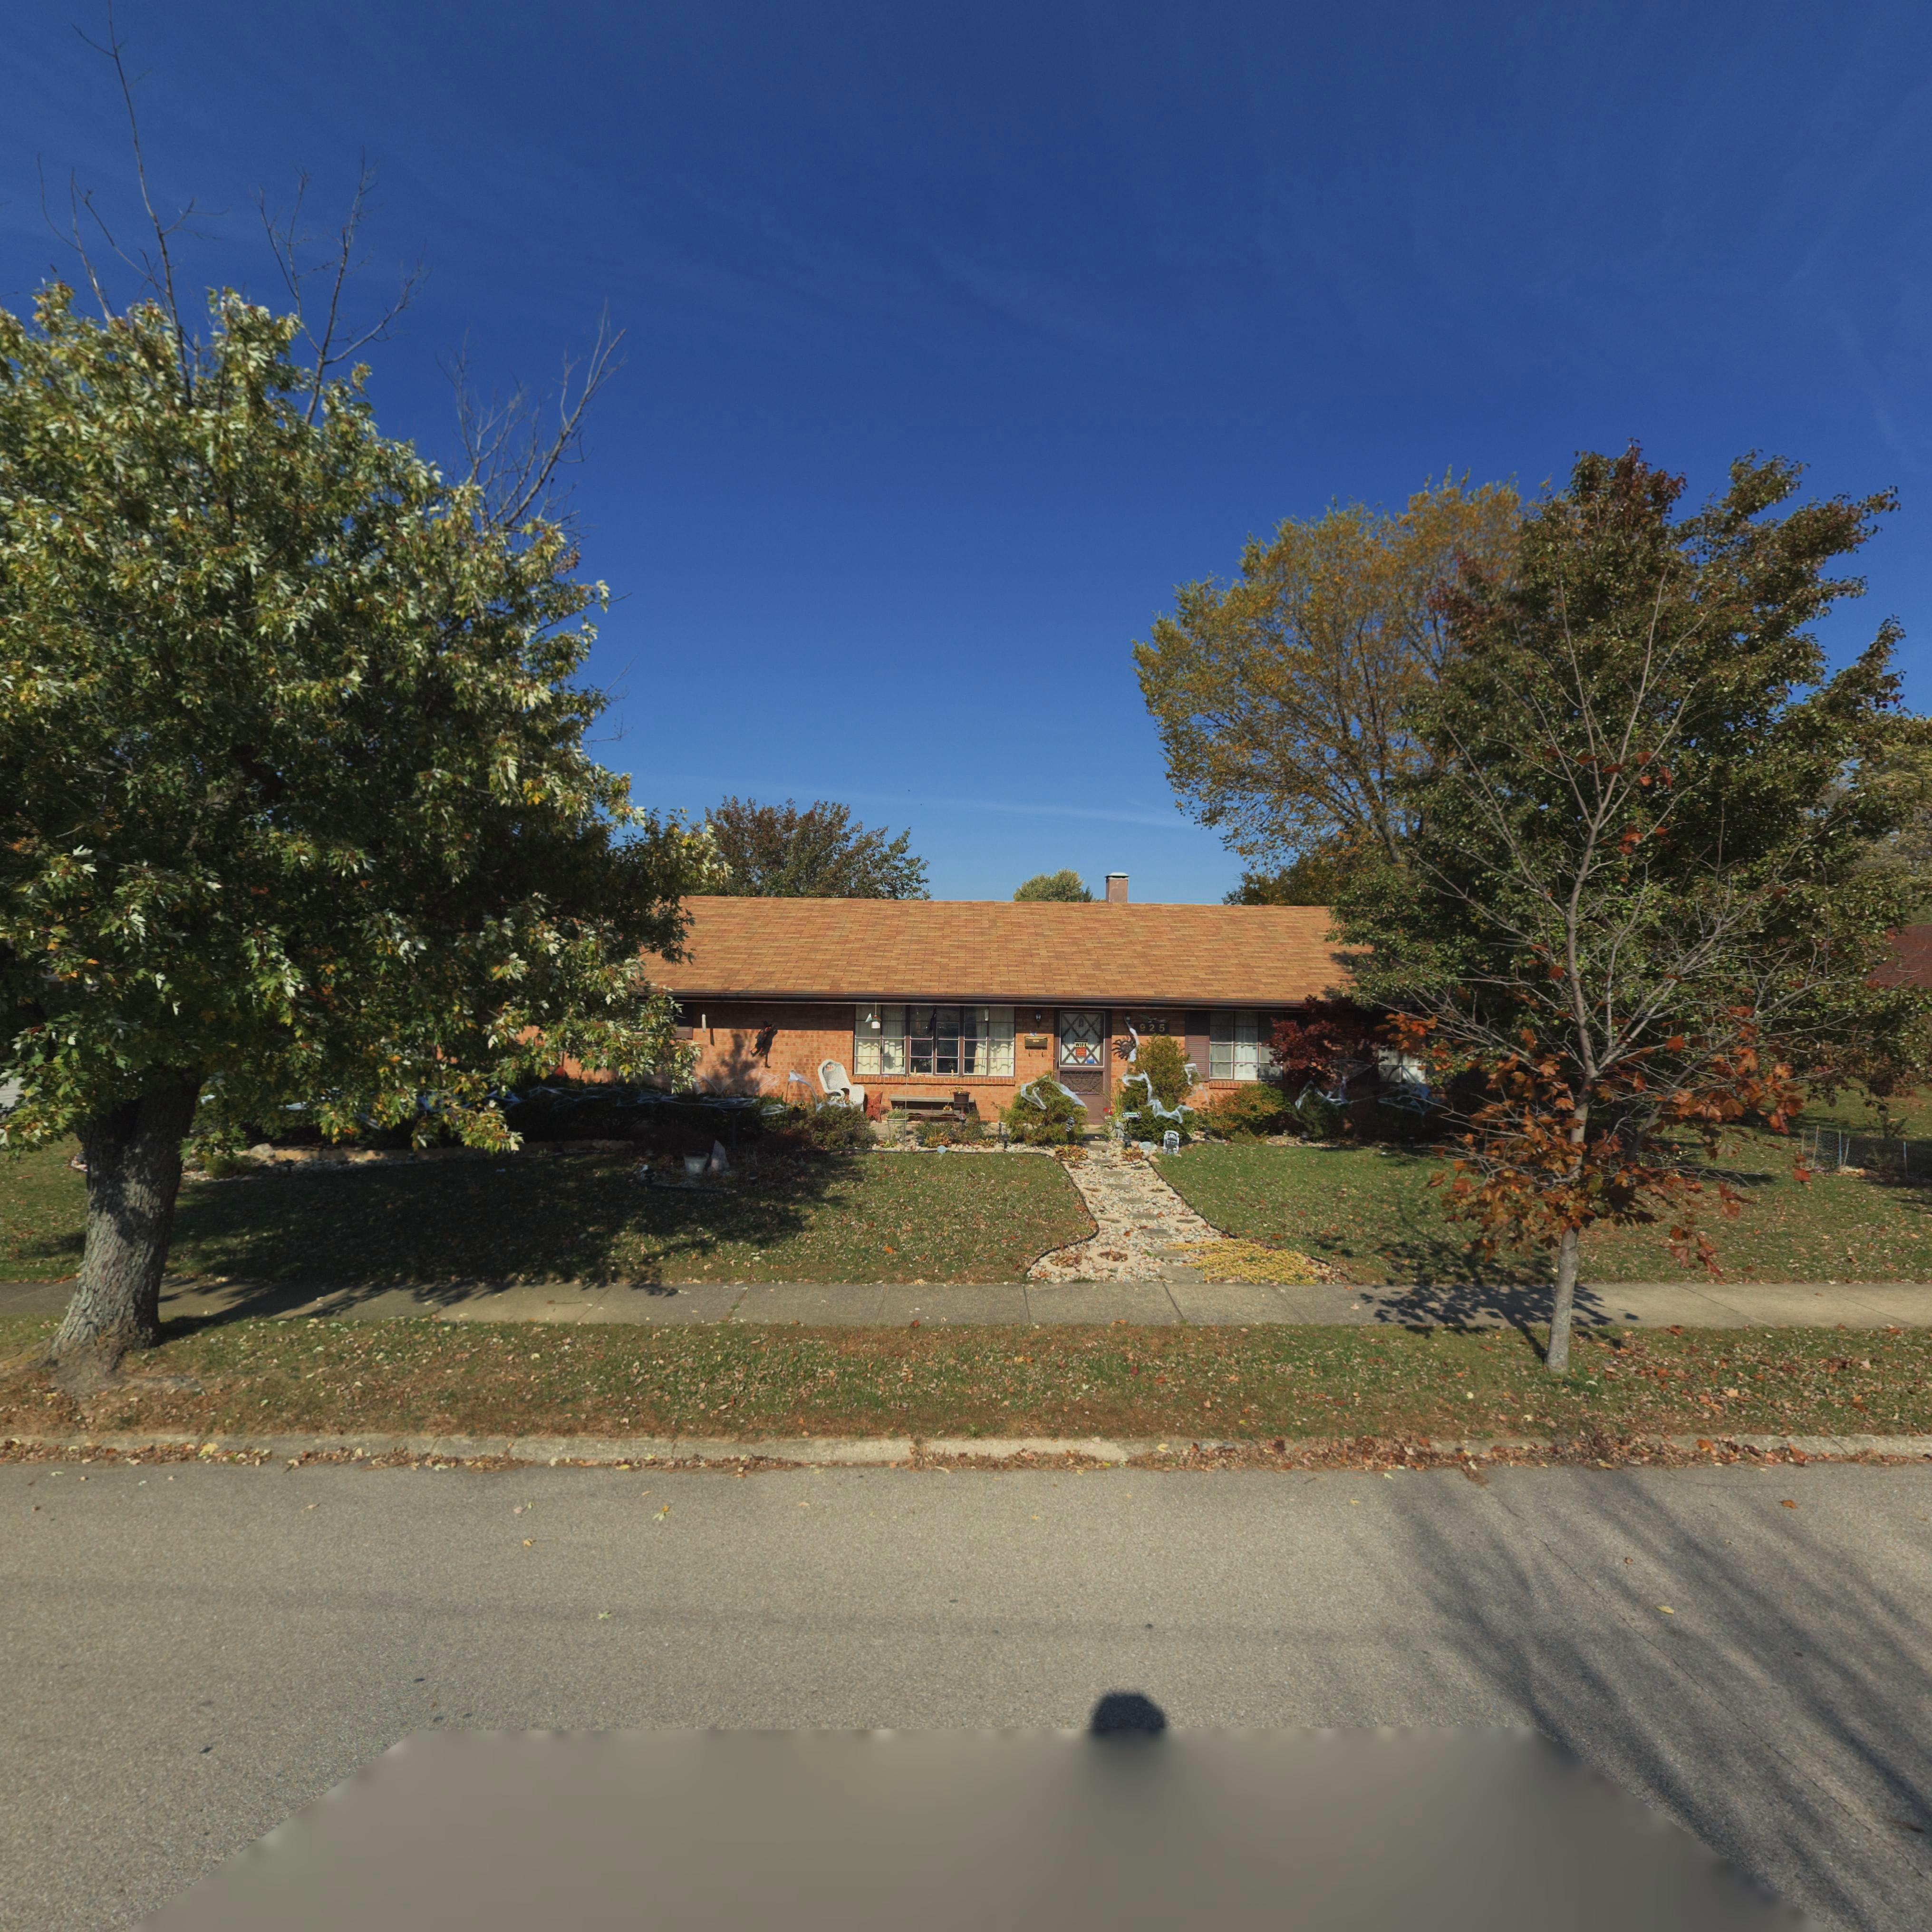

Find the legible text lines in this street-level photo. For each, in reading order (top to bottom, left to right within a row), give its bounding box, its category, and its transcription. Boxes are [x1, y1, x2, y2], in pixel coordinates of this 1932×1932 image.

[1139, 1023, 1166, 1033] StreetNumber: 925
[1075, 1042, 1088, 1047] None: WIFE